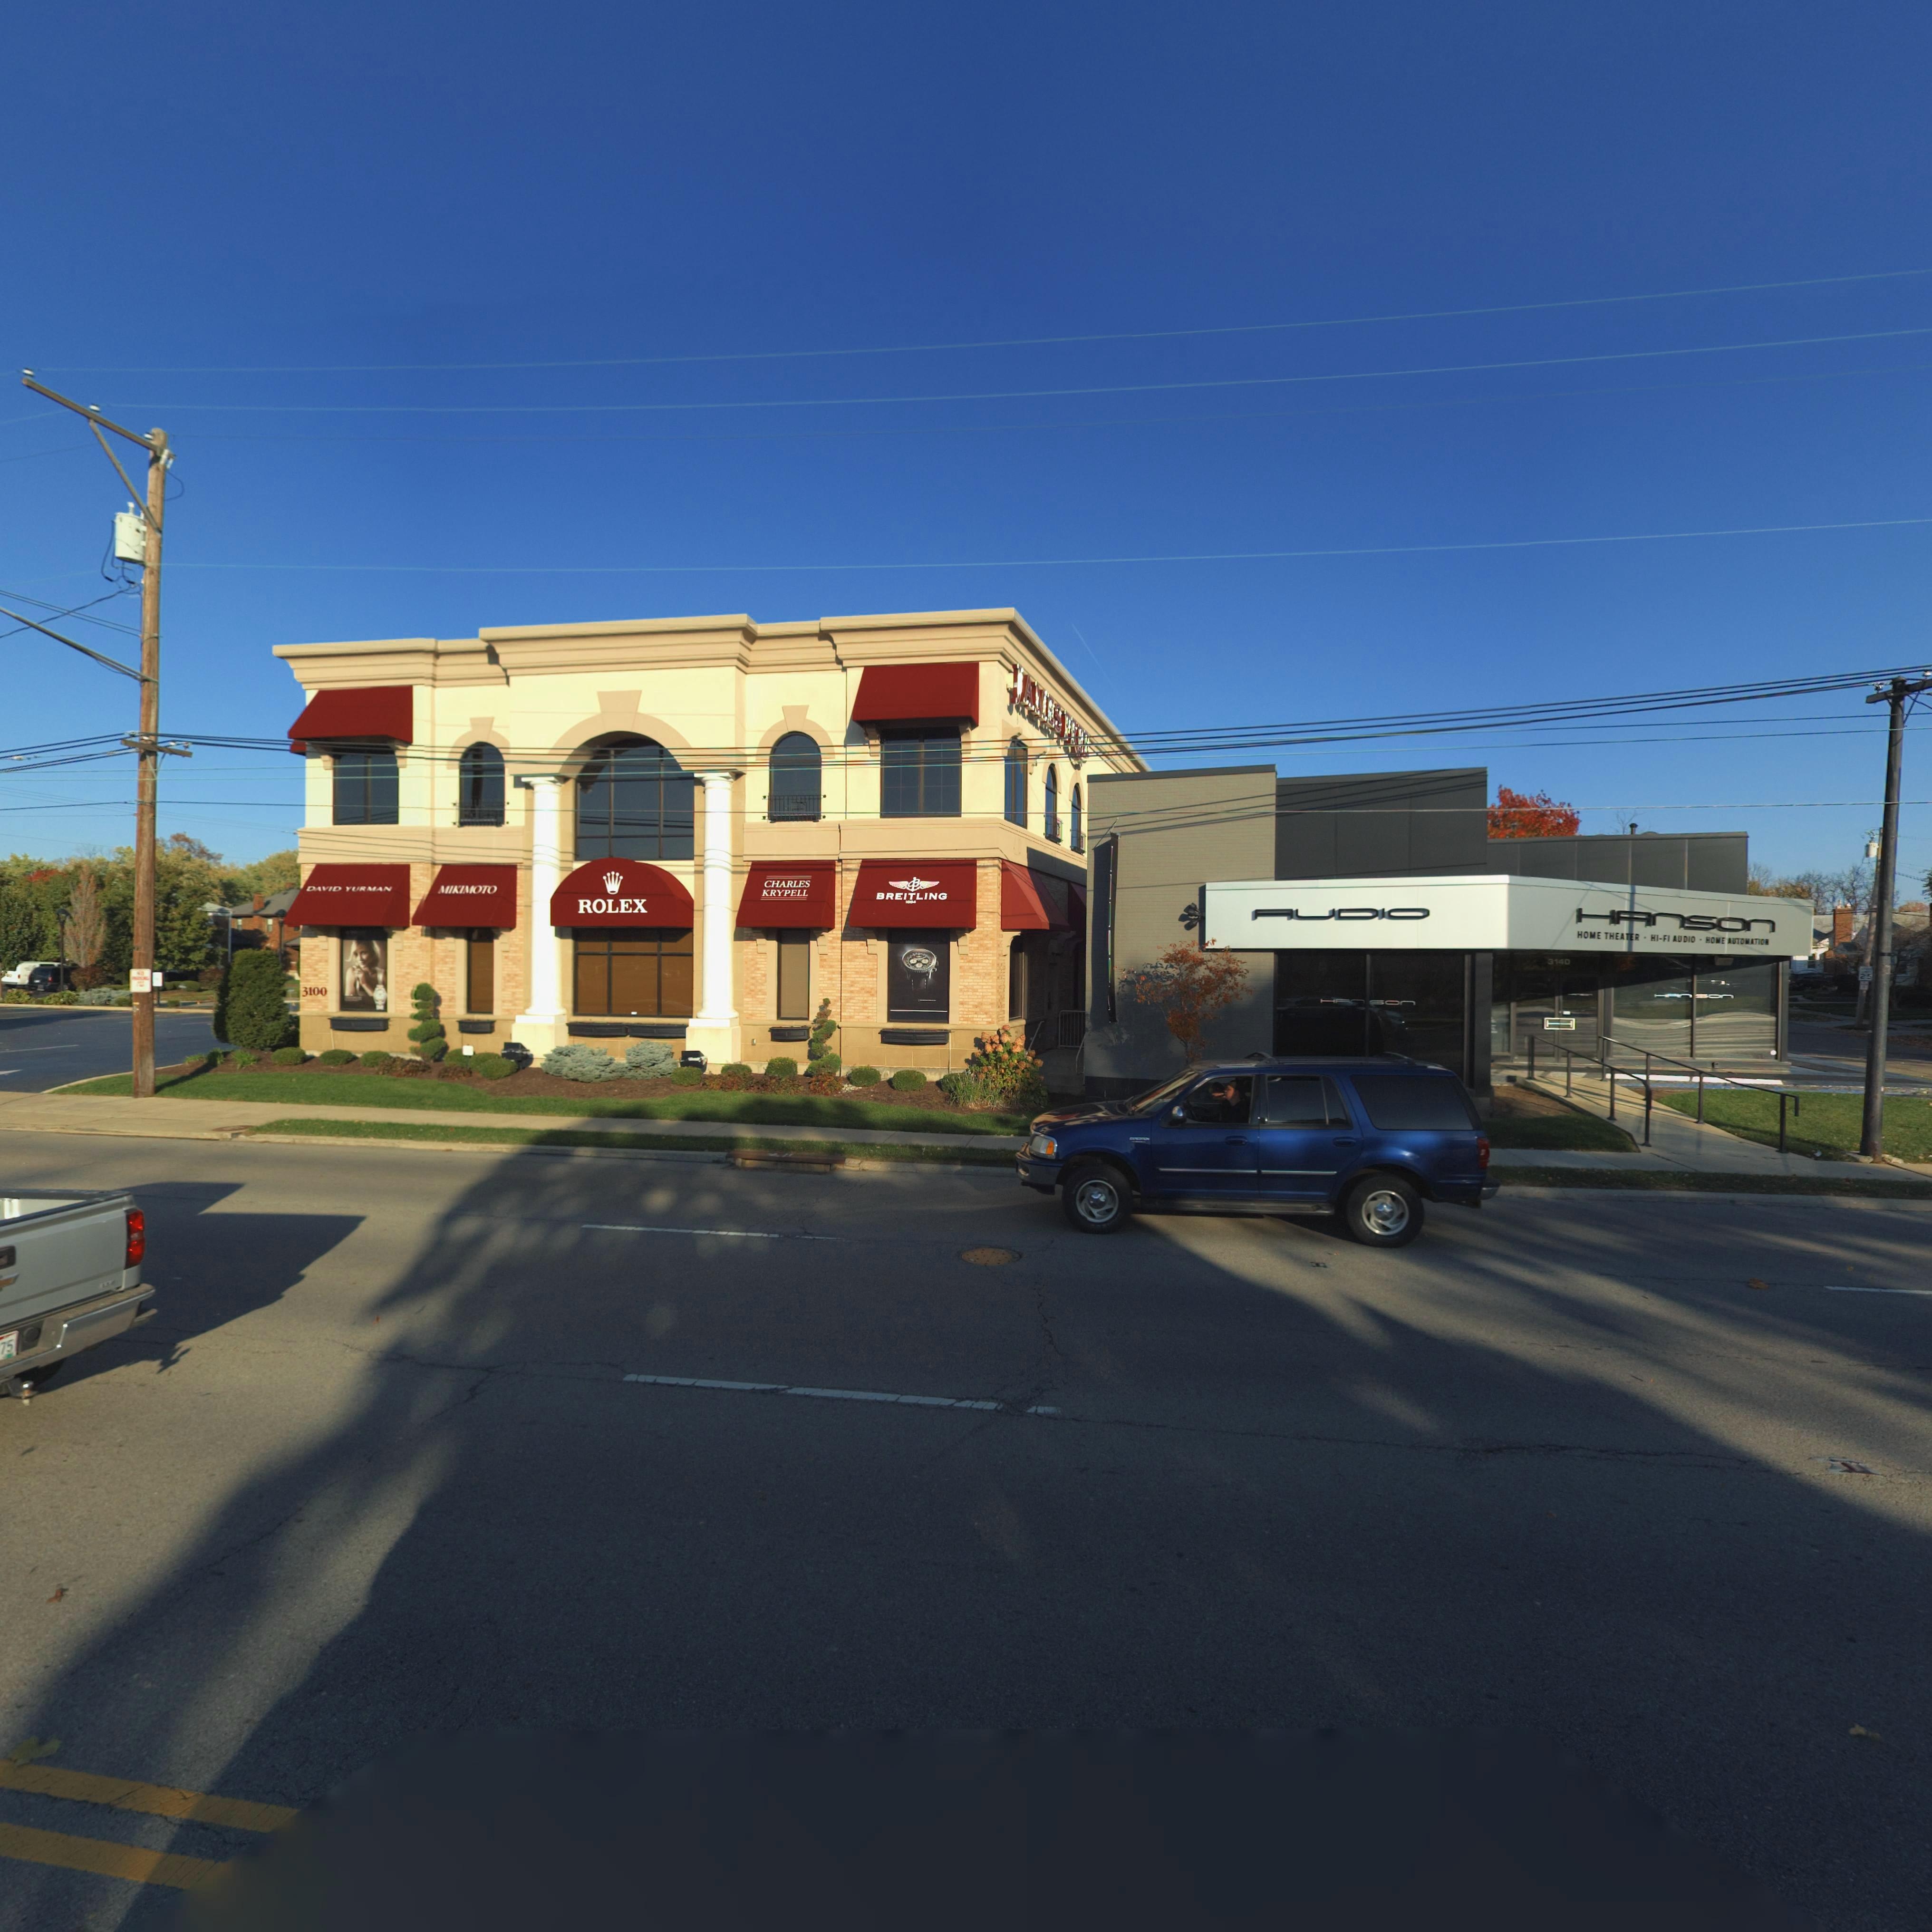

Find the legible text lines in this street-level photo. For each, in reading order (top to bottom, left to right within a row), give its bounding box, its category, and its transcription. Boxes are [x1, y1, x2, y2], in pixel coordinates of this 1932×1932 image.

[1575, 907, 1777, 933] BusinessName: HAnSOn
[1546, 957, 1572, 966] StreetNumber: 3140
[300, 985, 329, 998] StreetNumber: 3100
[1652, 993, 1735, 999] BusinessName: HAnSOn